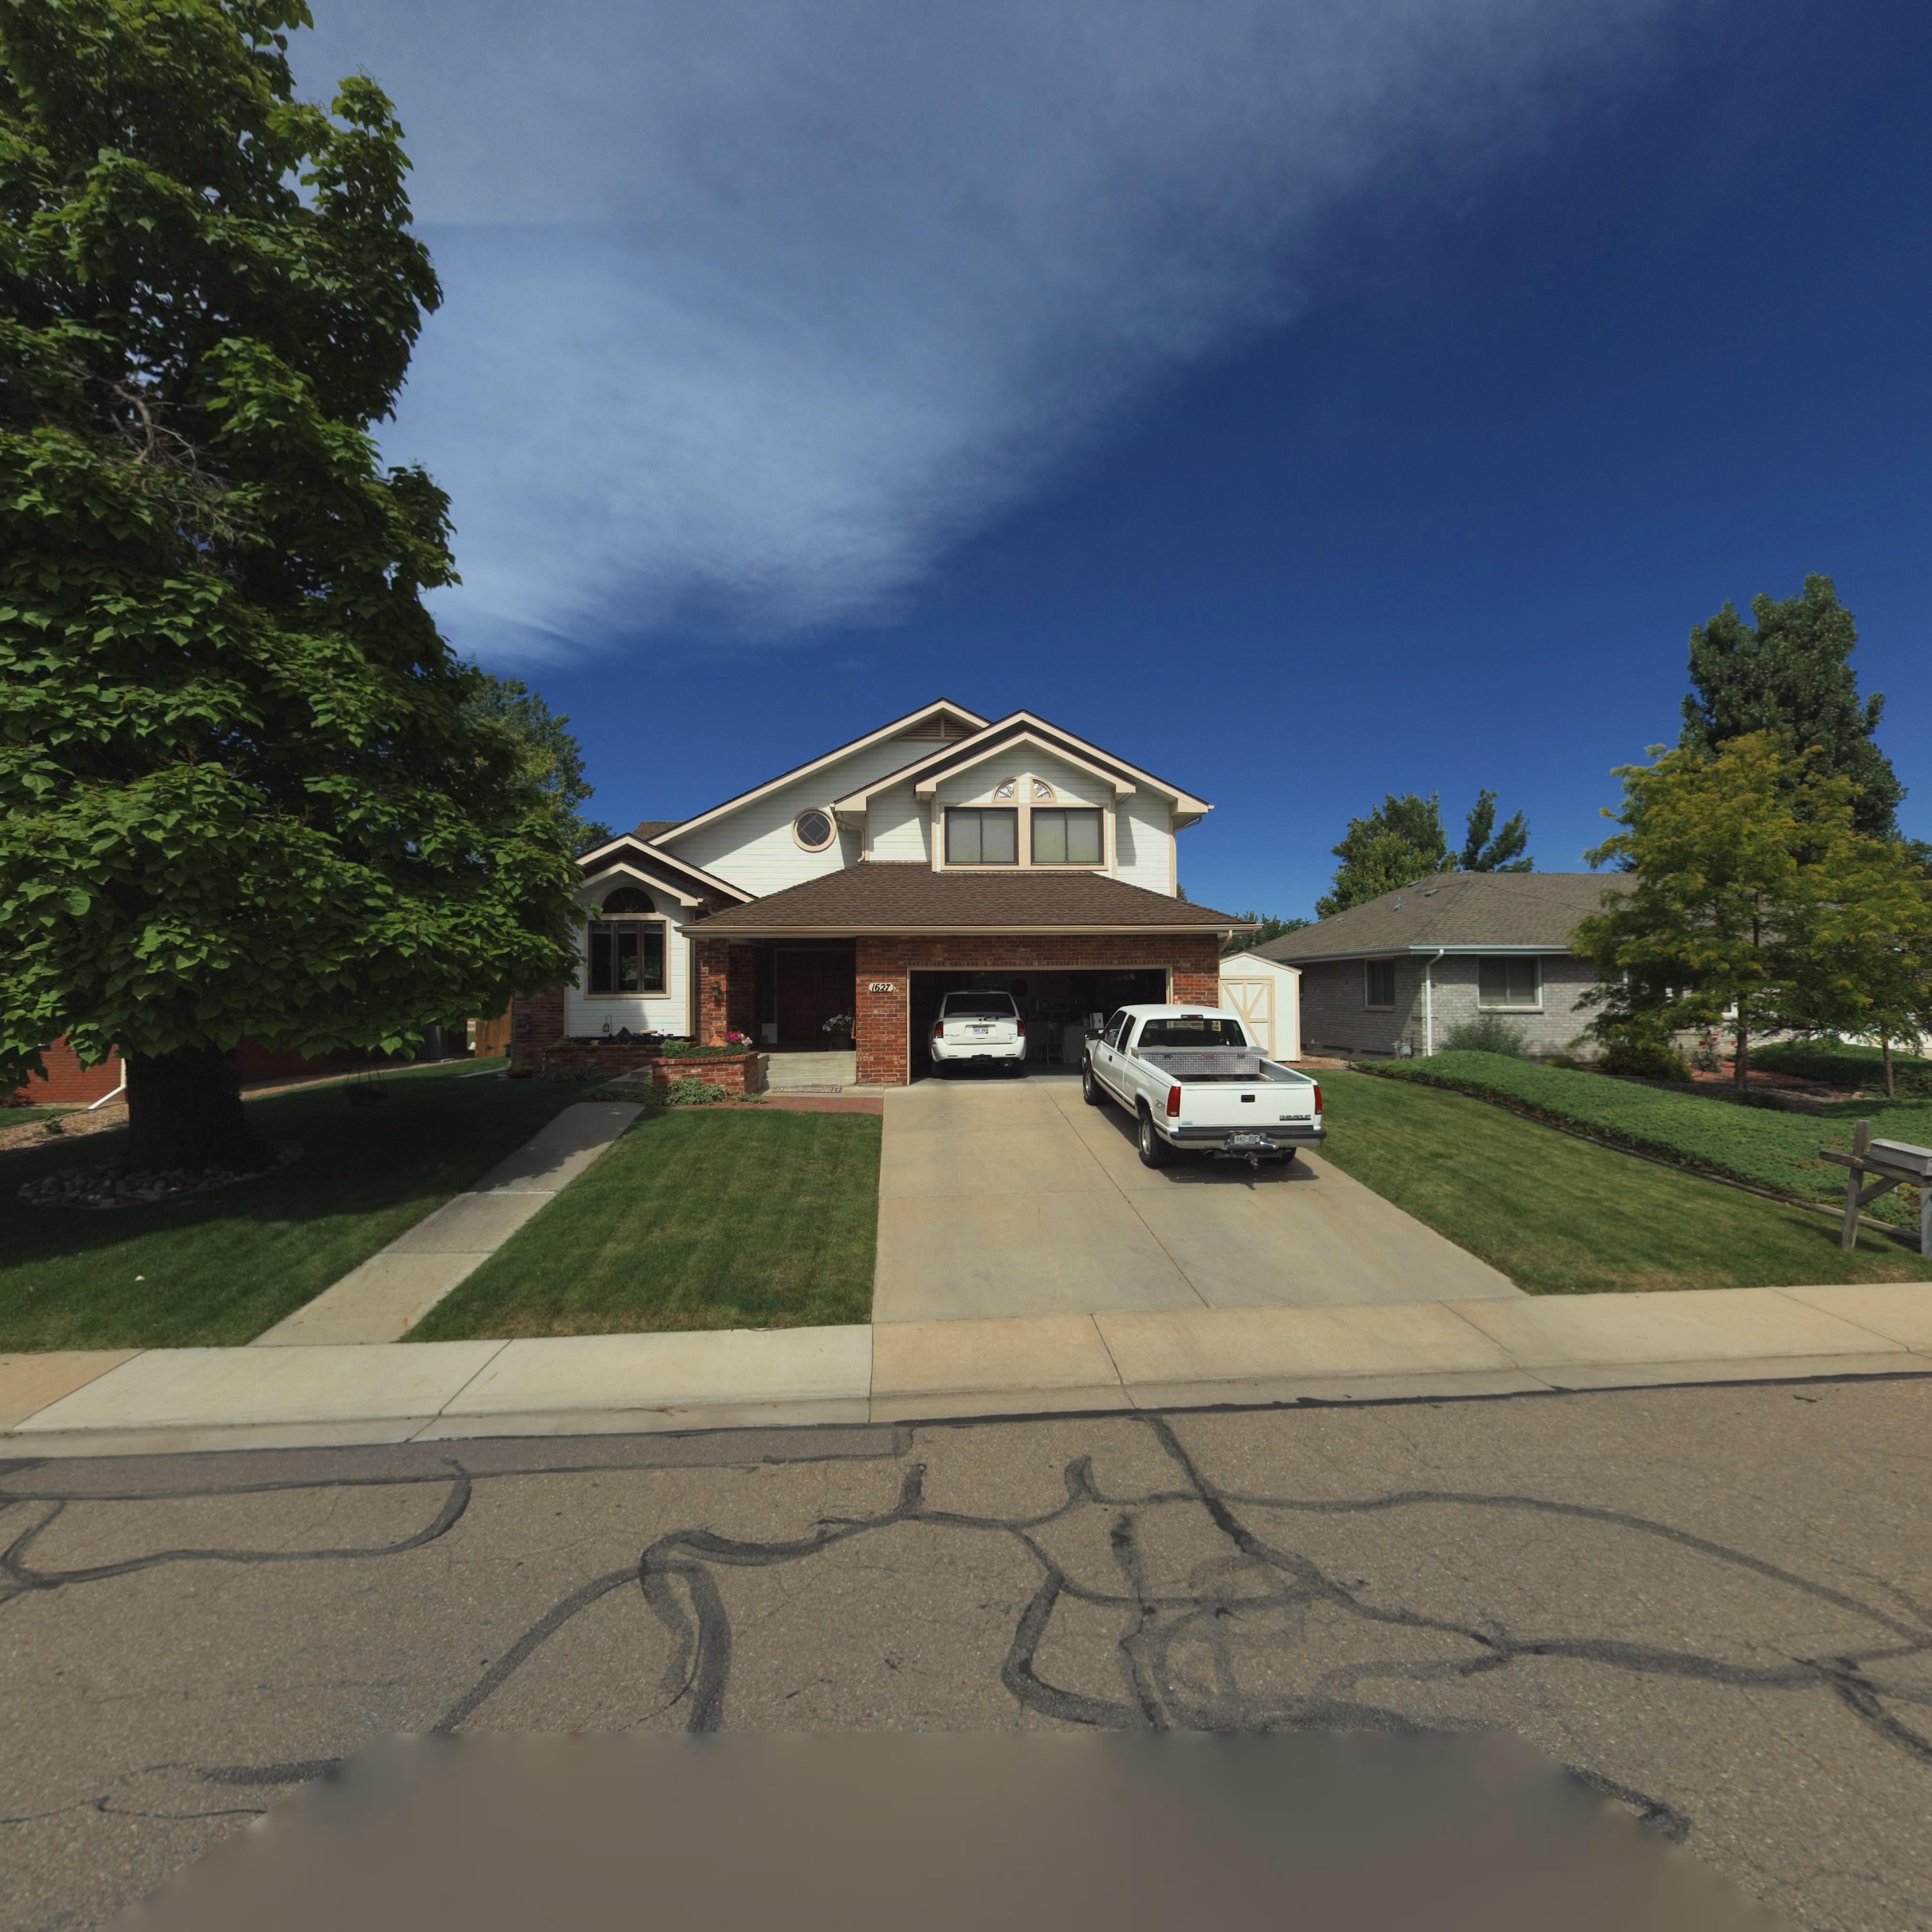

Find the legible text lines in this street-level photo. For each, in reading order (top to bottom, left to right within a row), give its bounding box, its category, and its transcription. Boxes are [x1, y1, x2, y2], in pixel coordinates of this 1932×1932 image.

[871, 983, 891, 992] StreetNumber: 1627